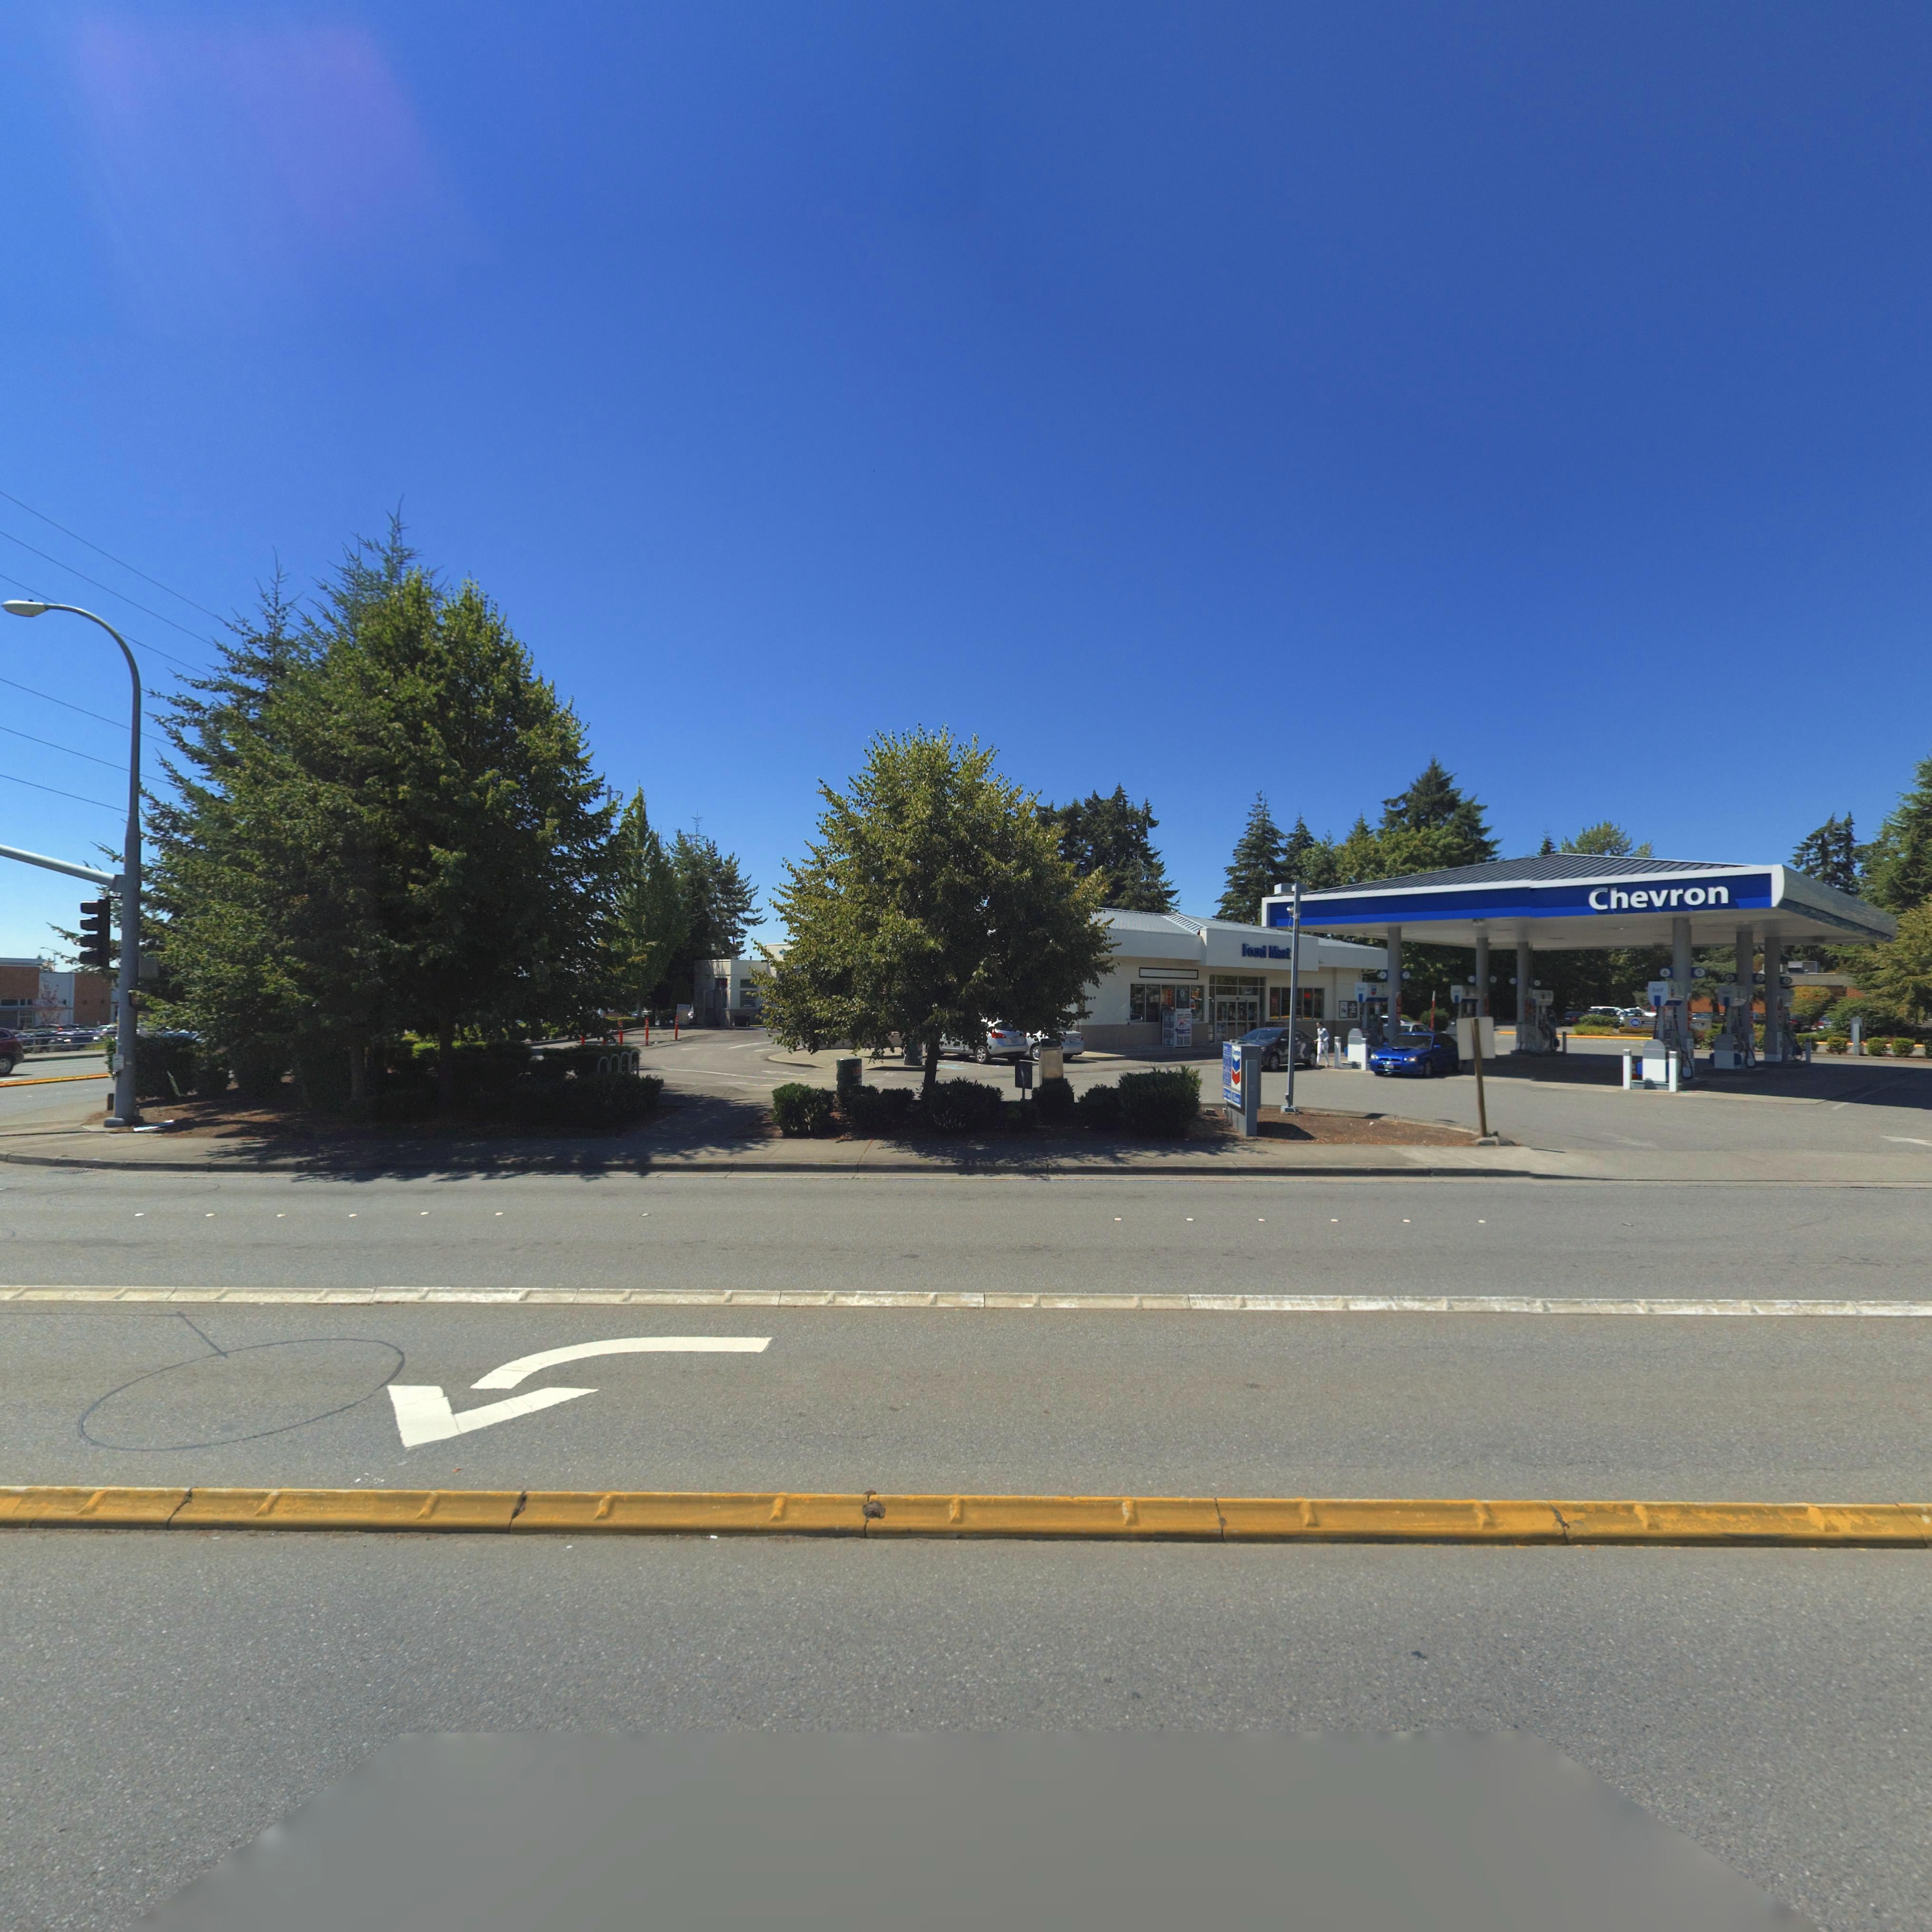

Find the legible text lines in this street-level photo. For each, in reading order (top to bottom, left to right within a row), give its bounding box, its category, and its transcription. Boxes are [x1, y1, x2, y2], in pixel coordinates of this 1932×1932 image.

[1587, 885, 1729, 910] BusinessName: Chevron